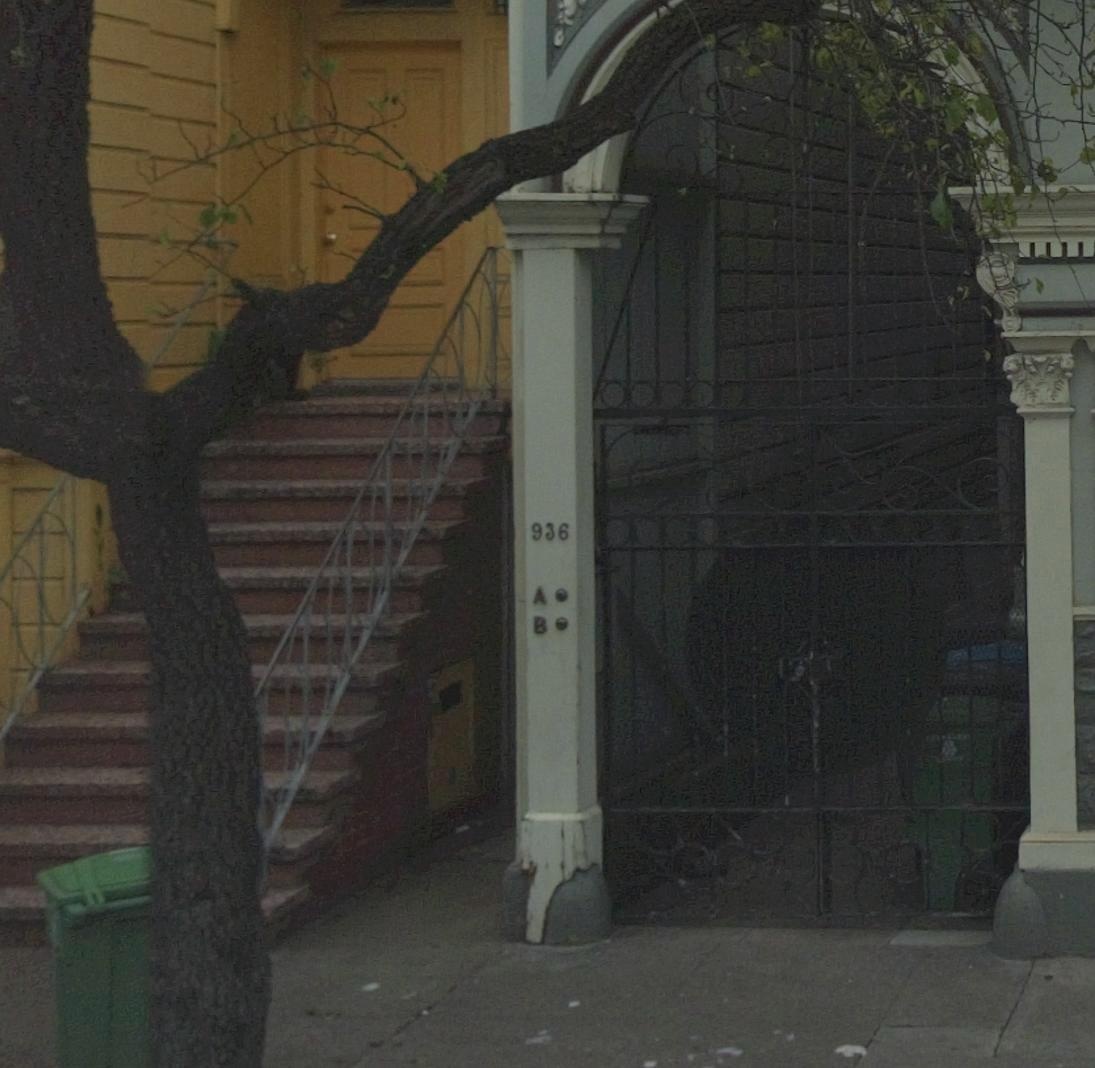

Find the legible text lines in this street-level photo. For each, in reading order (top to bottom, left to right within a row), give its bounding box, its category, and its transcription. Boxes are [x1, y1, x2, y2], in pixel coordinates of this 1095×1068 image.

[529, 521, 571, 543] StreetNumber: 936
[532, 584, 549, 606] StreetNumber: A
[532, 613, 549, 637] StreetNumber: B